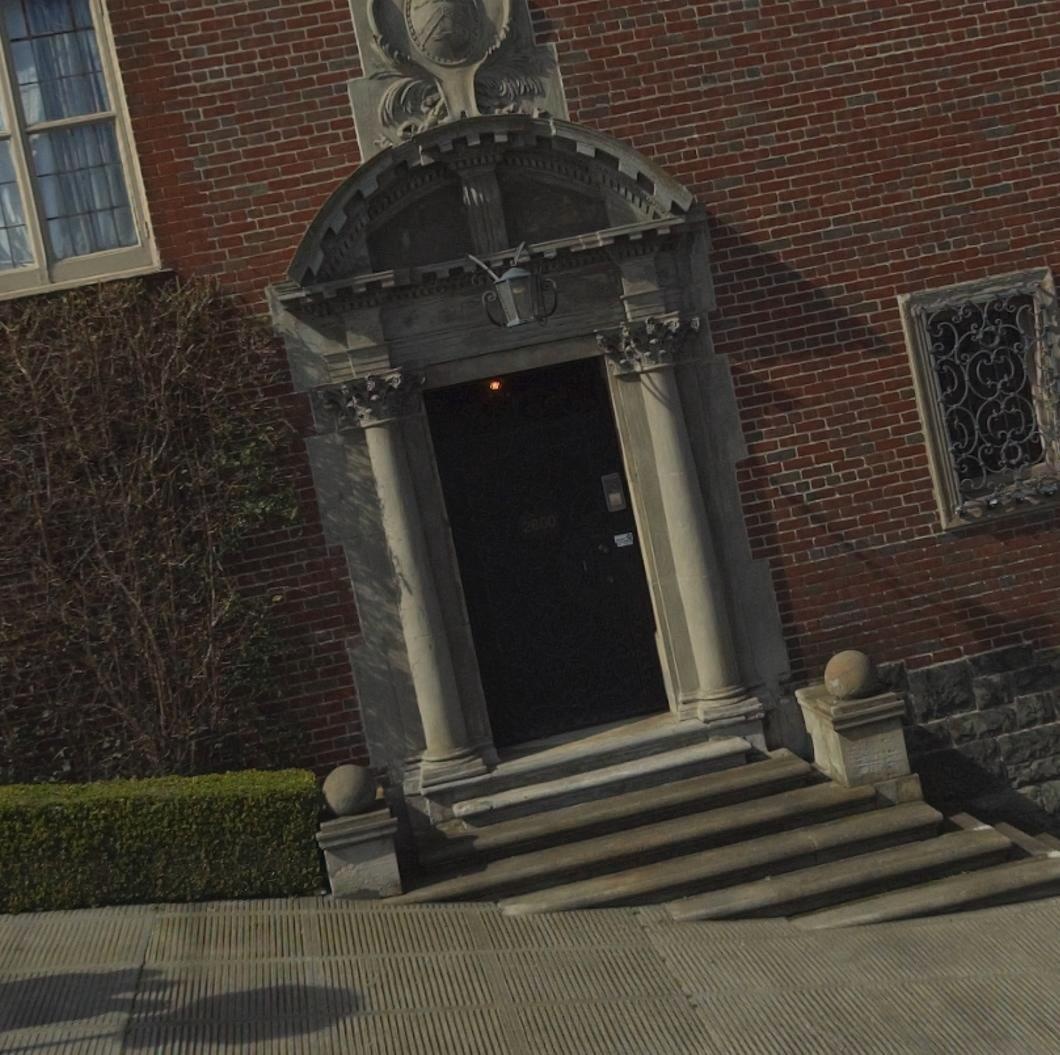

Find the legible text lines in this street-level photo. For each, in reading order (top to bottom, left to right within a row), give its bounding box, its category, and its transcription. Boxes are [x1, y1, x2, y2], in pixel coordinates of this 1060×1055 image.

[521, 512, 558, 537] StreetNumber: 2800